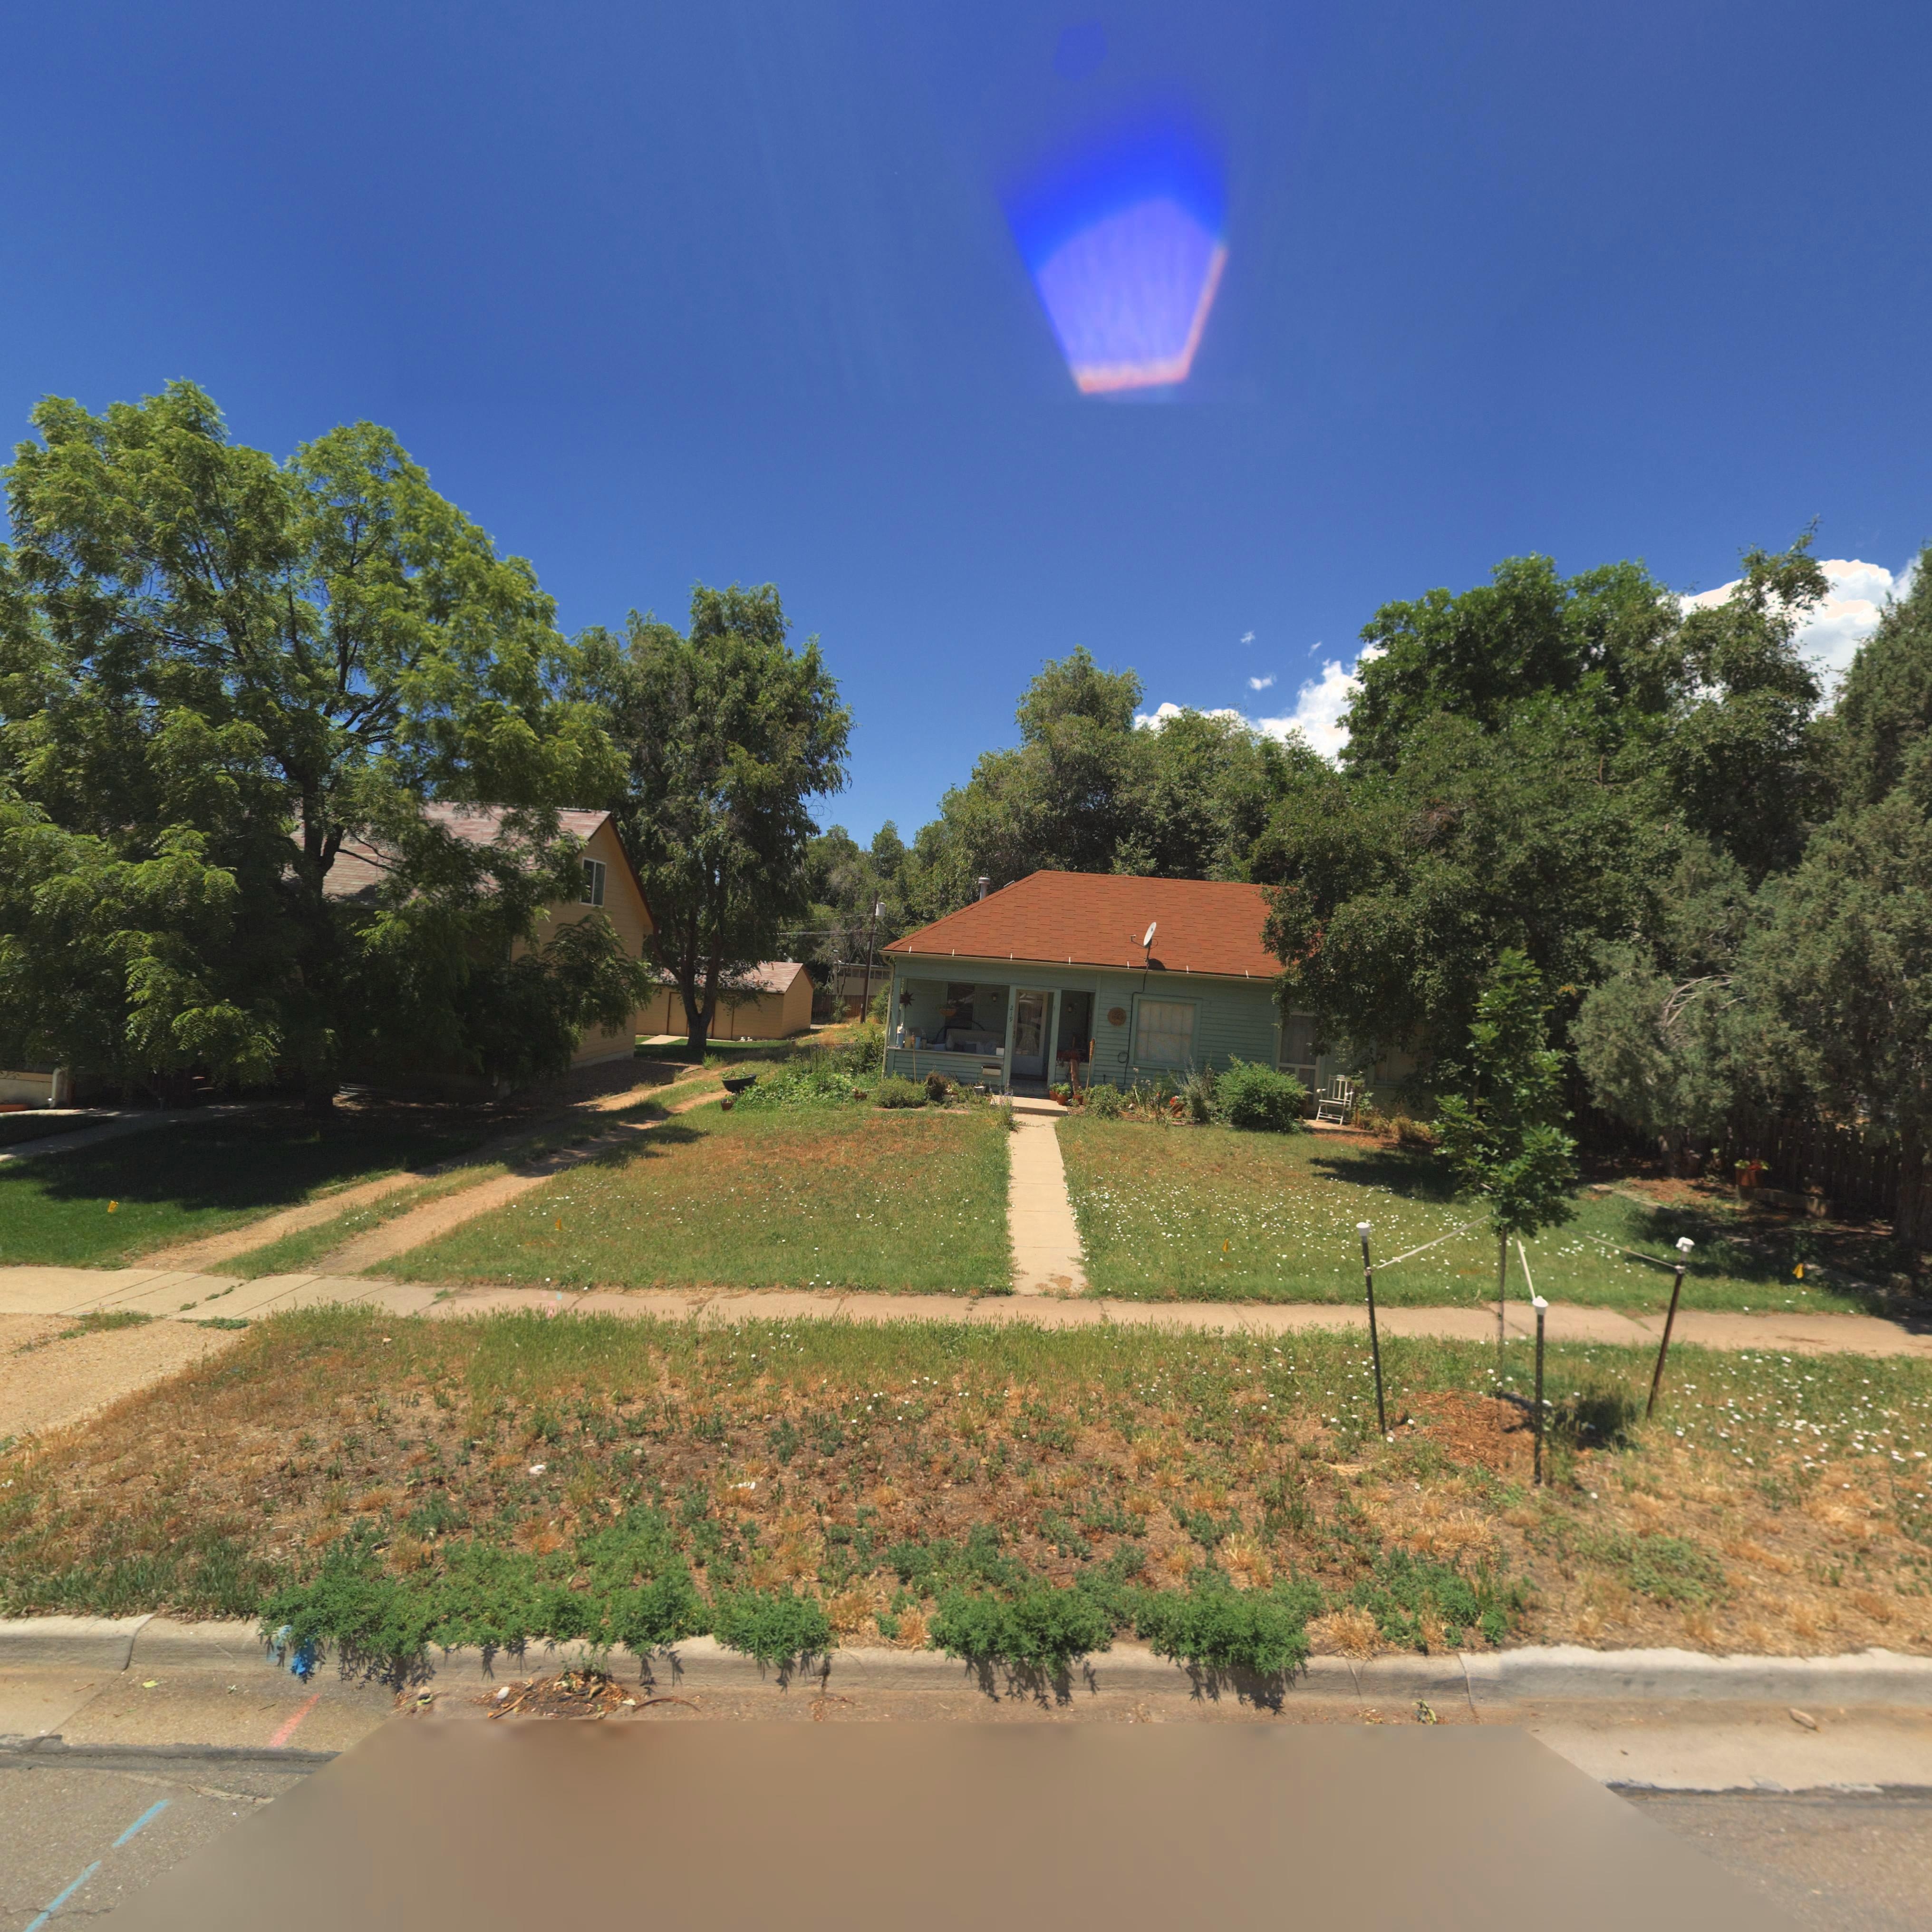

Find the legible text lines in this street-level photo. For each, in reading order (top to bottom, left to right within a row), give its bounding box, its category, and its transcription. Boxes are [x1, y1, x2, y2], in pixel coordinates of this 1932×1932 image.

[1009, 1005, 1013, 1023] StreetNumber: 219